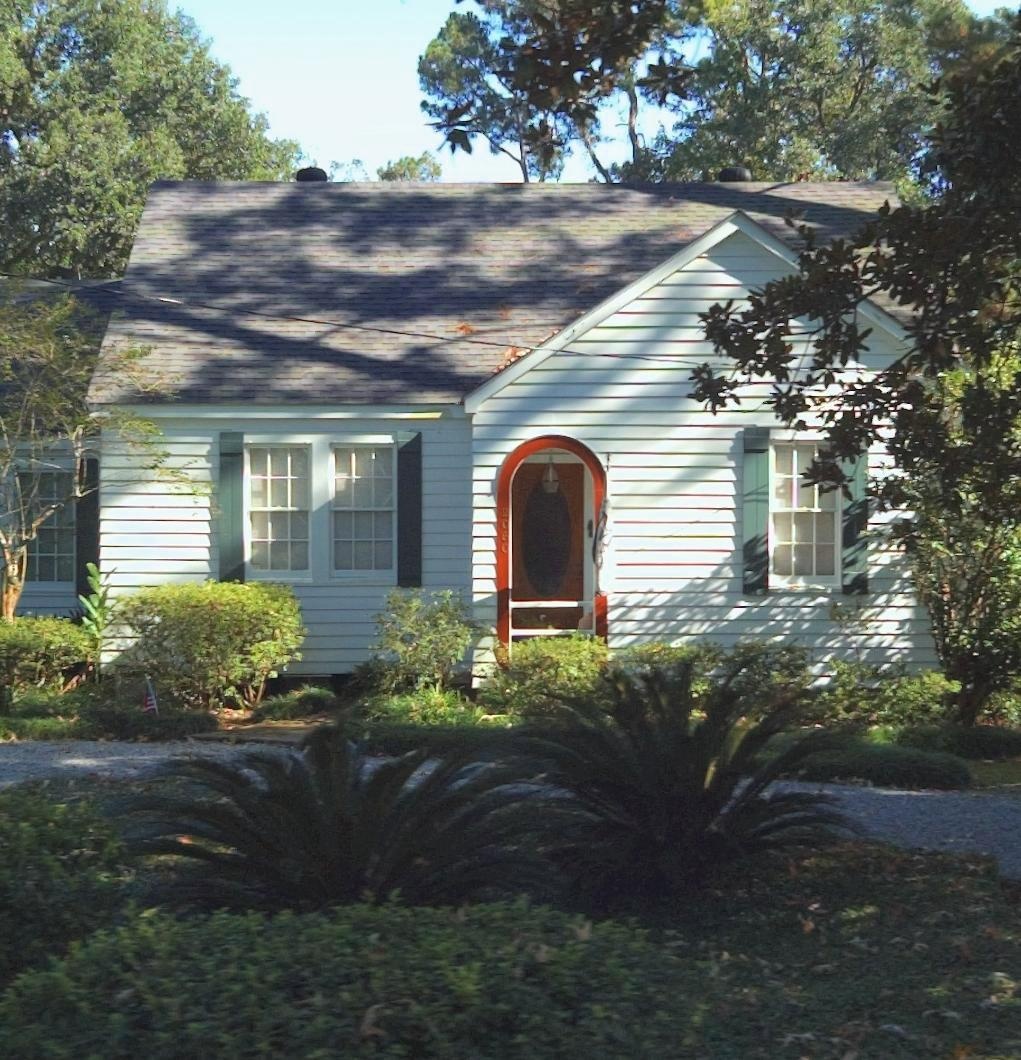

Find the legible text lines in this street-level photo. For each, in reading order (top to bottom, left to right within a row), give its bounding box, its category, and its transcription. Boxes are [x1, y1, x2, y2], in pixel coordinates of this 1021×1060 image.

[500, 505, 510, 555] StreetNumber: 2060